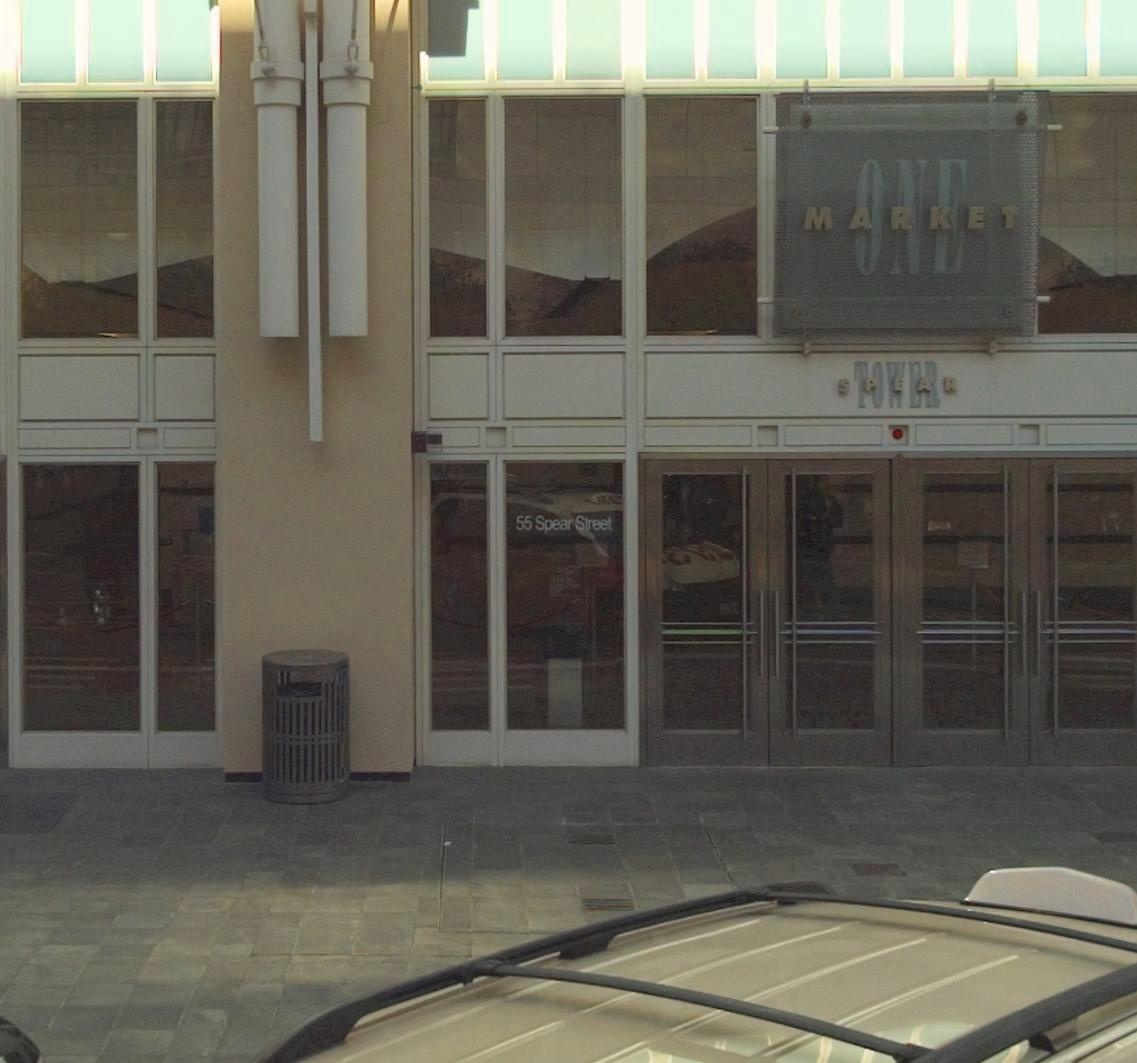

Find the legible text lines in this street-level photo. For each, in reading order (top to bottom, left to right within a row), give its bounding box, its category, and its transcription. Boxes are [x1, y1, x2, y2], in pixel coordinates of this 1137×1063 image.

[801, 204, 1023, 232] BusinessName: MARKET
[837, 375, 958, 395] None: SPEAR
[515, 514, 533, 532] StreetNumber: 55
[534, 514, 614, 534] StreetName: Spear Street